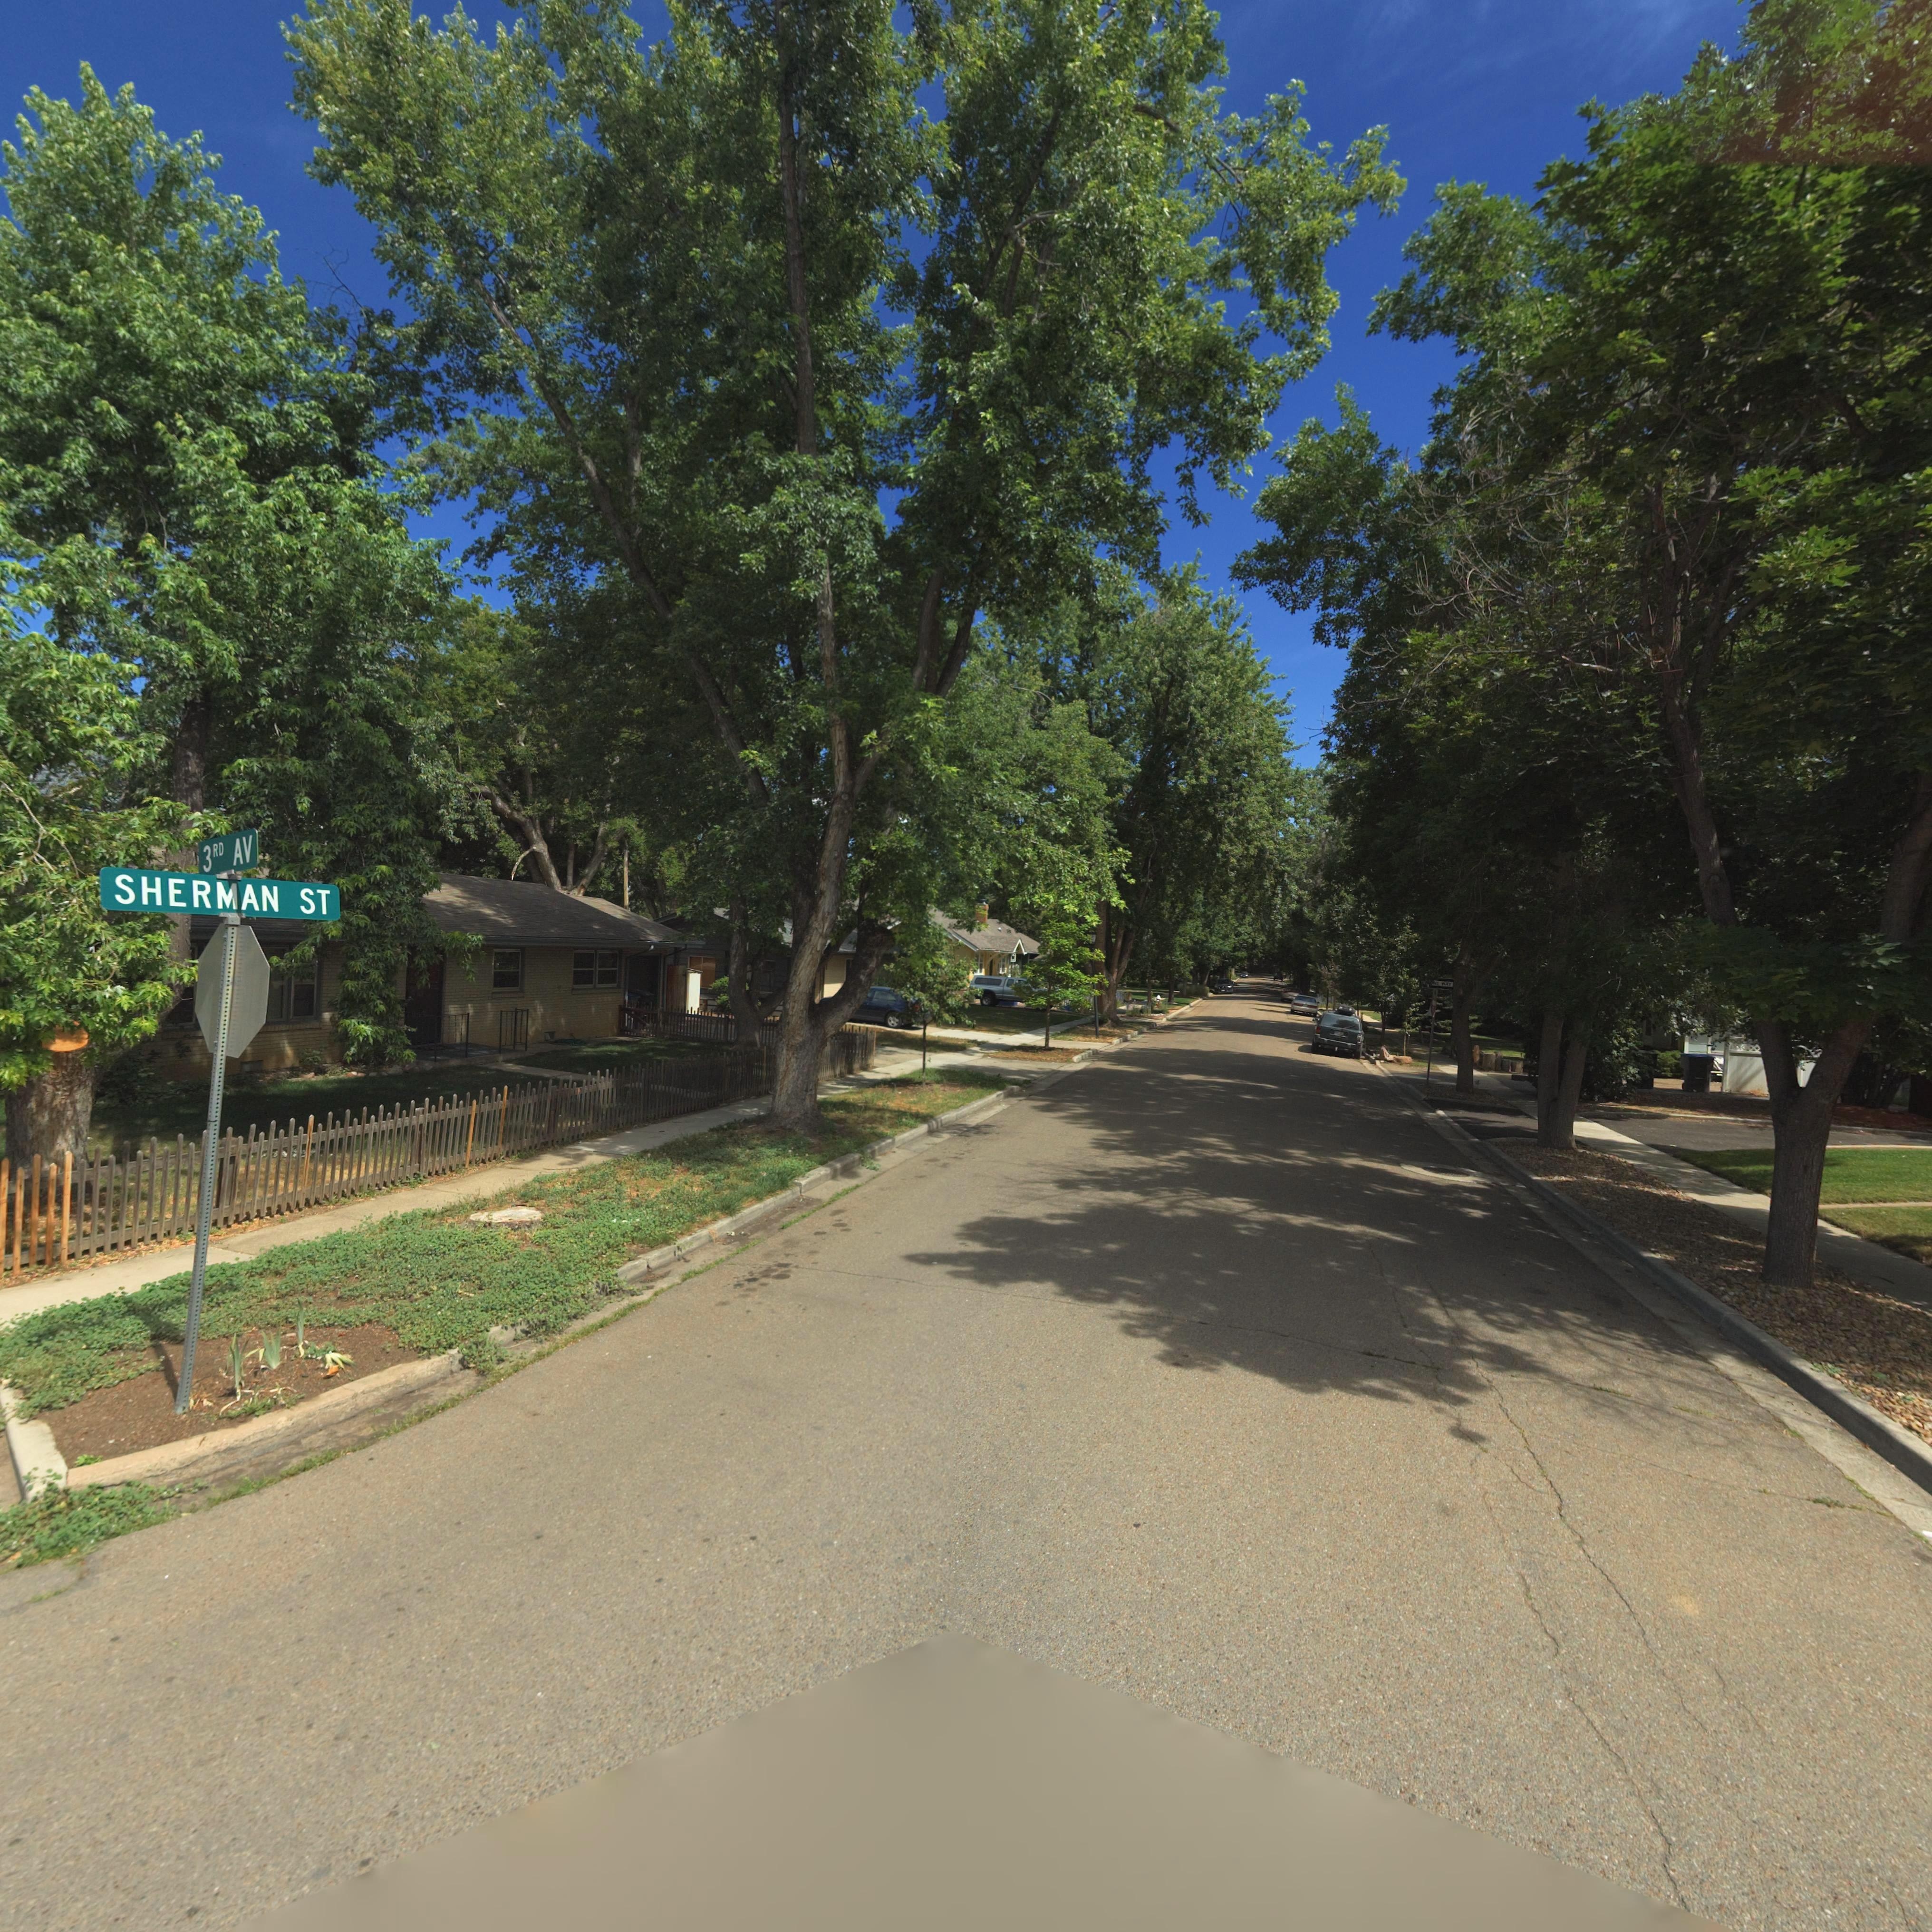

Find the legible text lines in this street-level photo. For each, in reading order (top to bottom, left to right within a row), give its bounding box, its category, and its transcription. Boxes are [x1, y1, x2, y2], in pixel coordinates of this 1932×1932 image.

[203, 834, 252, 872] StreetName: 3RD AV
[114, 873, 330, 914] StreetName: SHERMAN ST